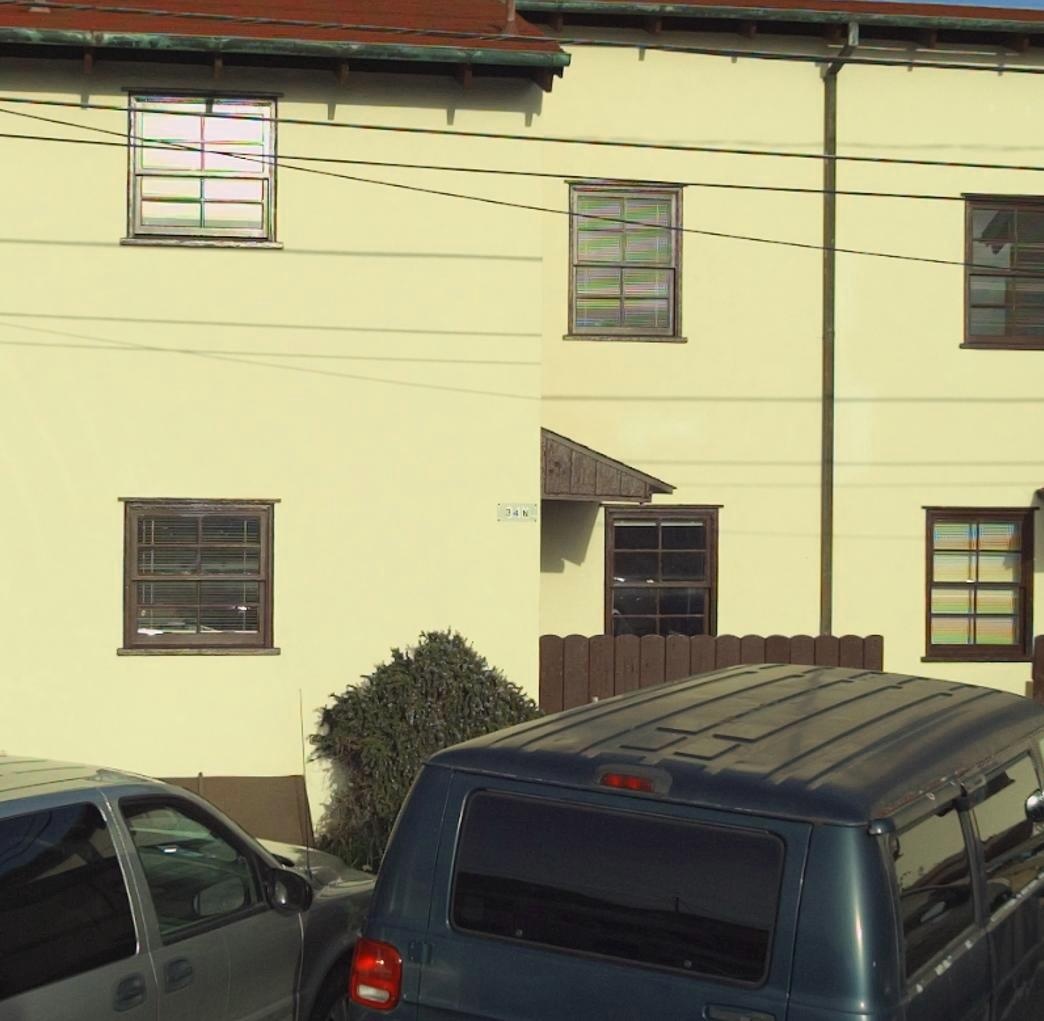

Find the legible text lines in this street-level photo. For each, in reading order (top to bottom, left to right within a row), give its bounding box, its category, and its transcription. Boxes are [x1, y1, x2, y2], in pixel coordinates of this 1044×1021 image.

[503, 506, 531, 520] StreetNumber: 34*